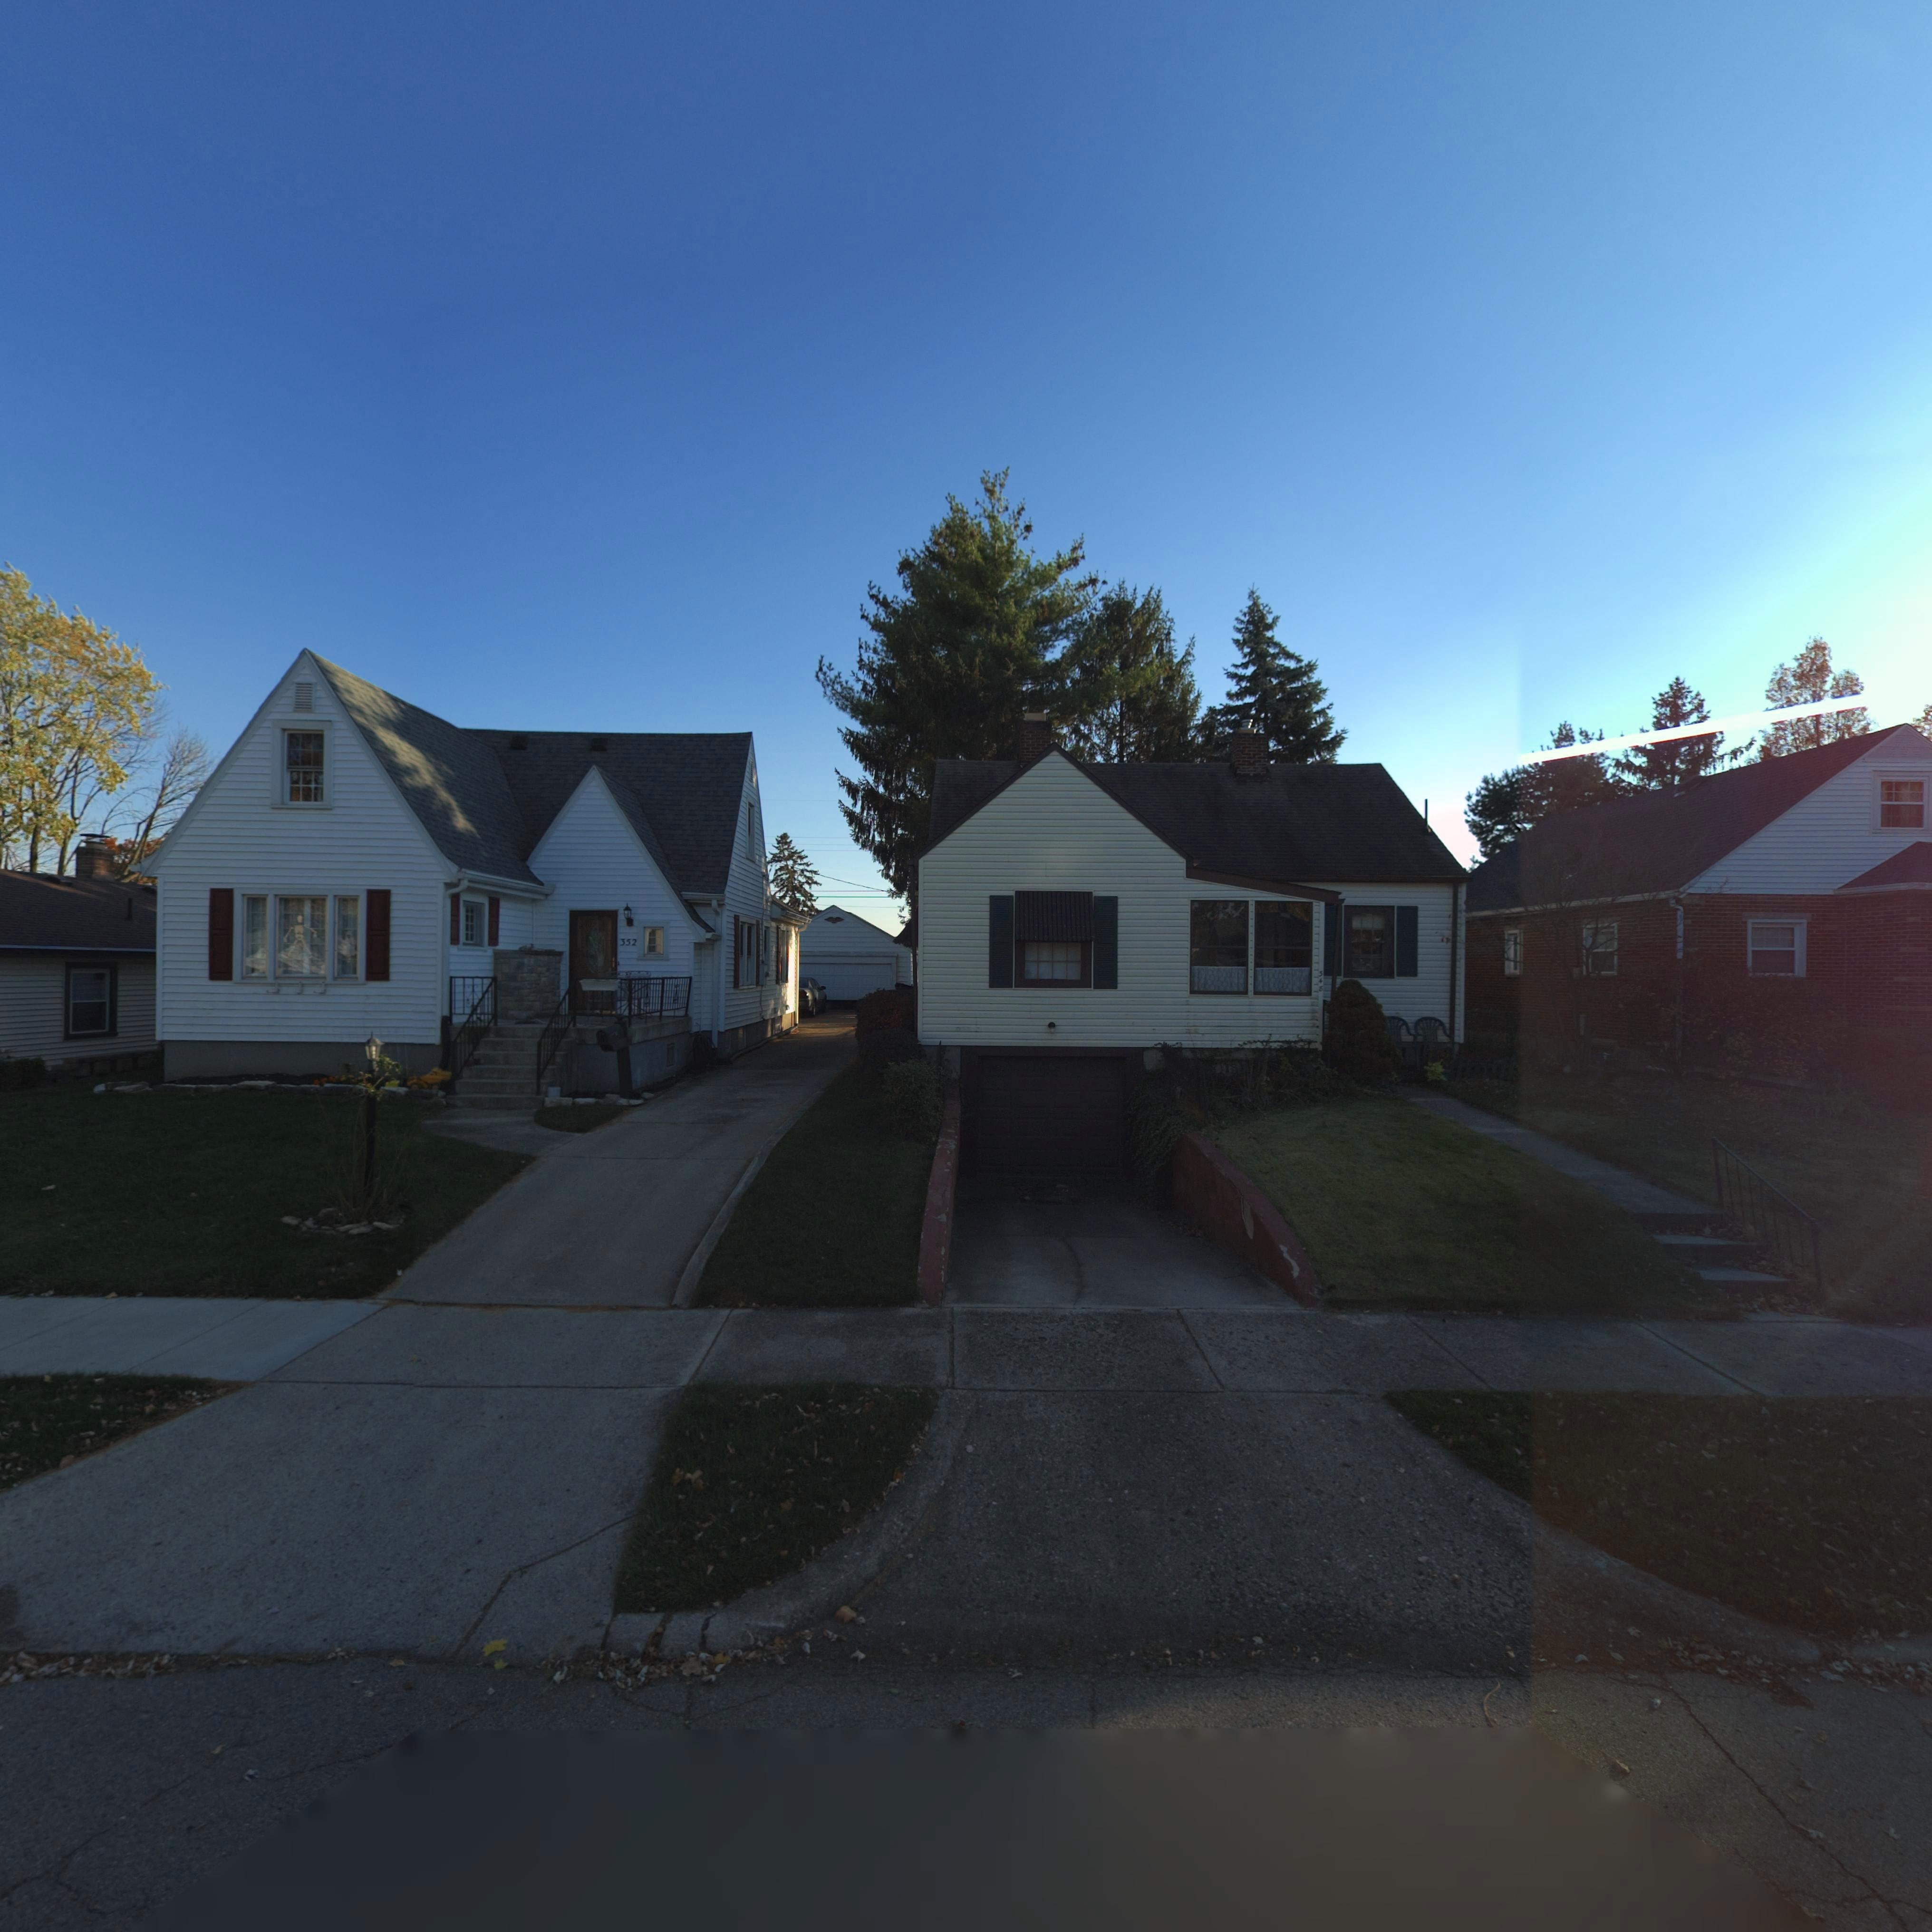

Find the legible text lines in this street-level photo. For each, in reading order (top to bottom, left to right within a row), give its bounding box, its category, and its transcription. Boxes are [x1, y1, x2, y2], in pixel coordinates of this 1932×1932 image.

[619, 937, 638, 947] StreetNumber: 352
[1318, 970, 1323, 992] StreetNumber: 348